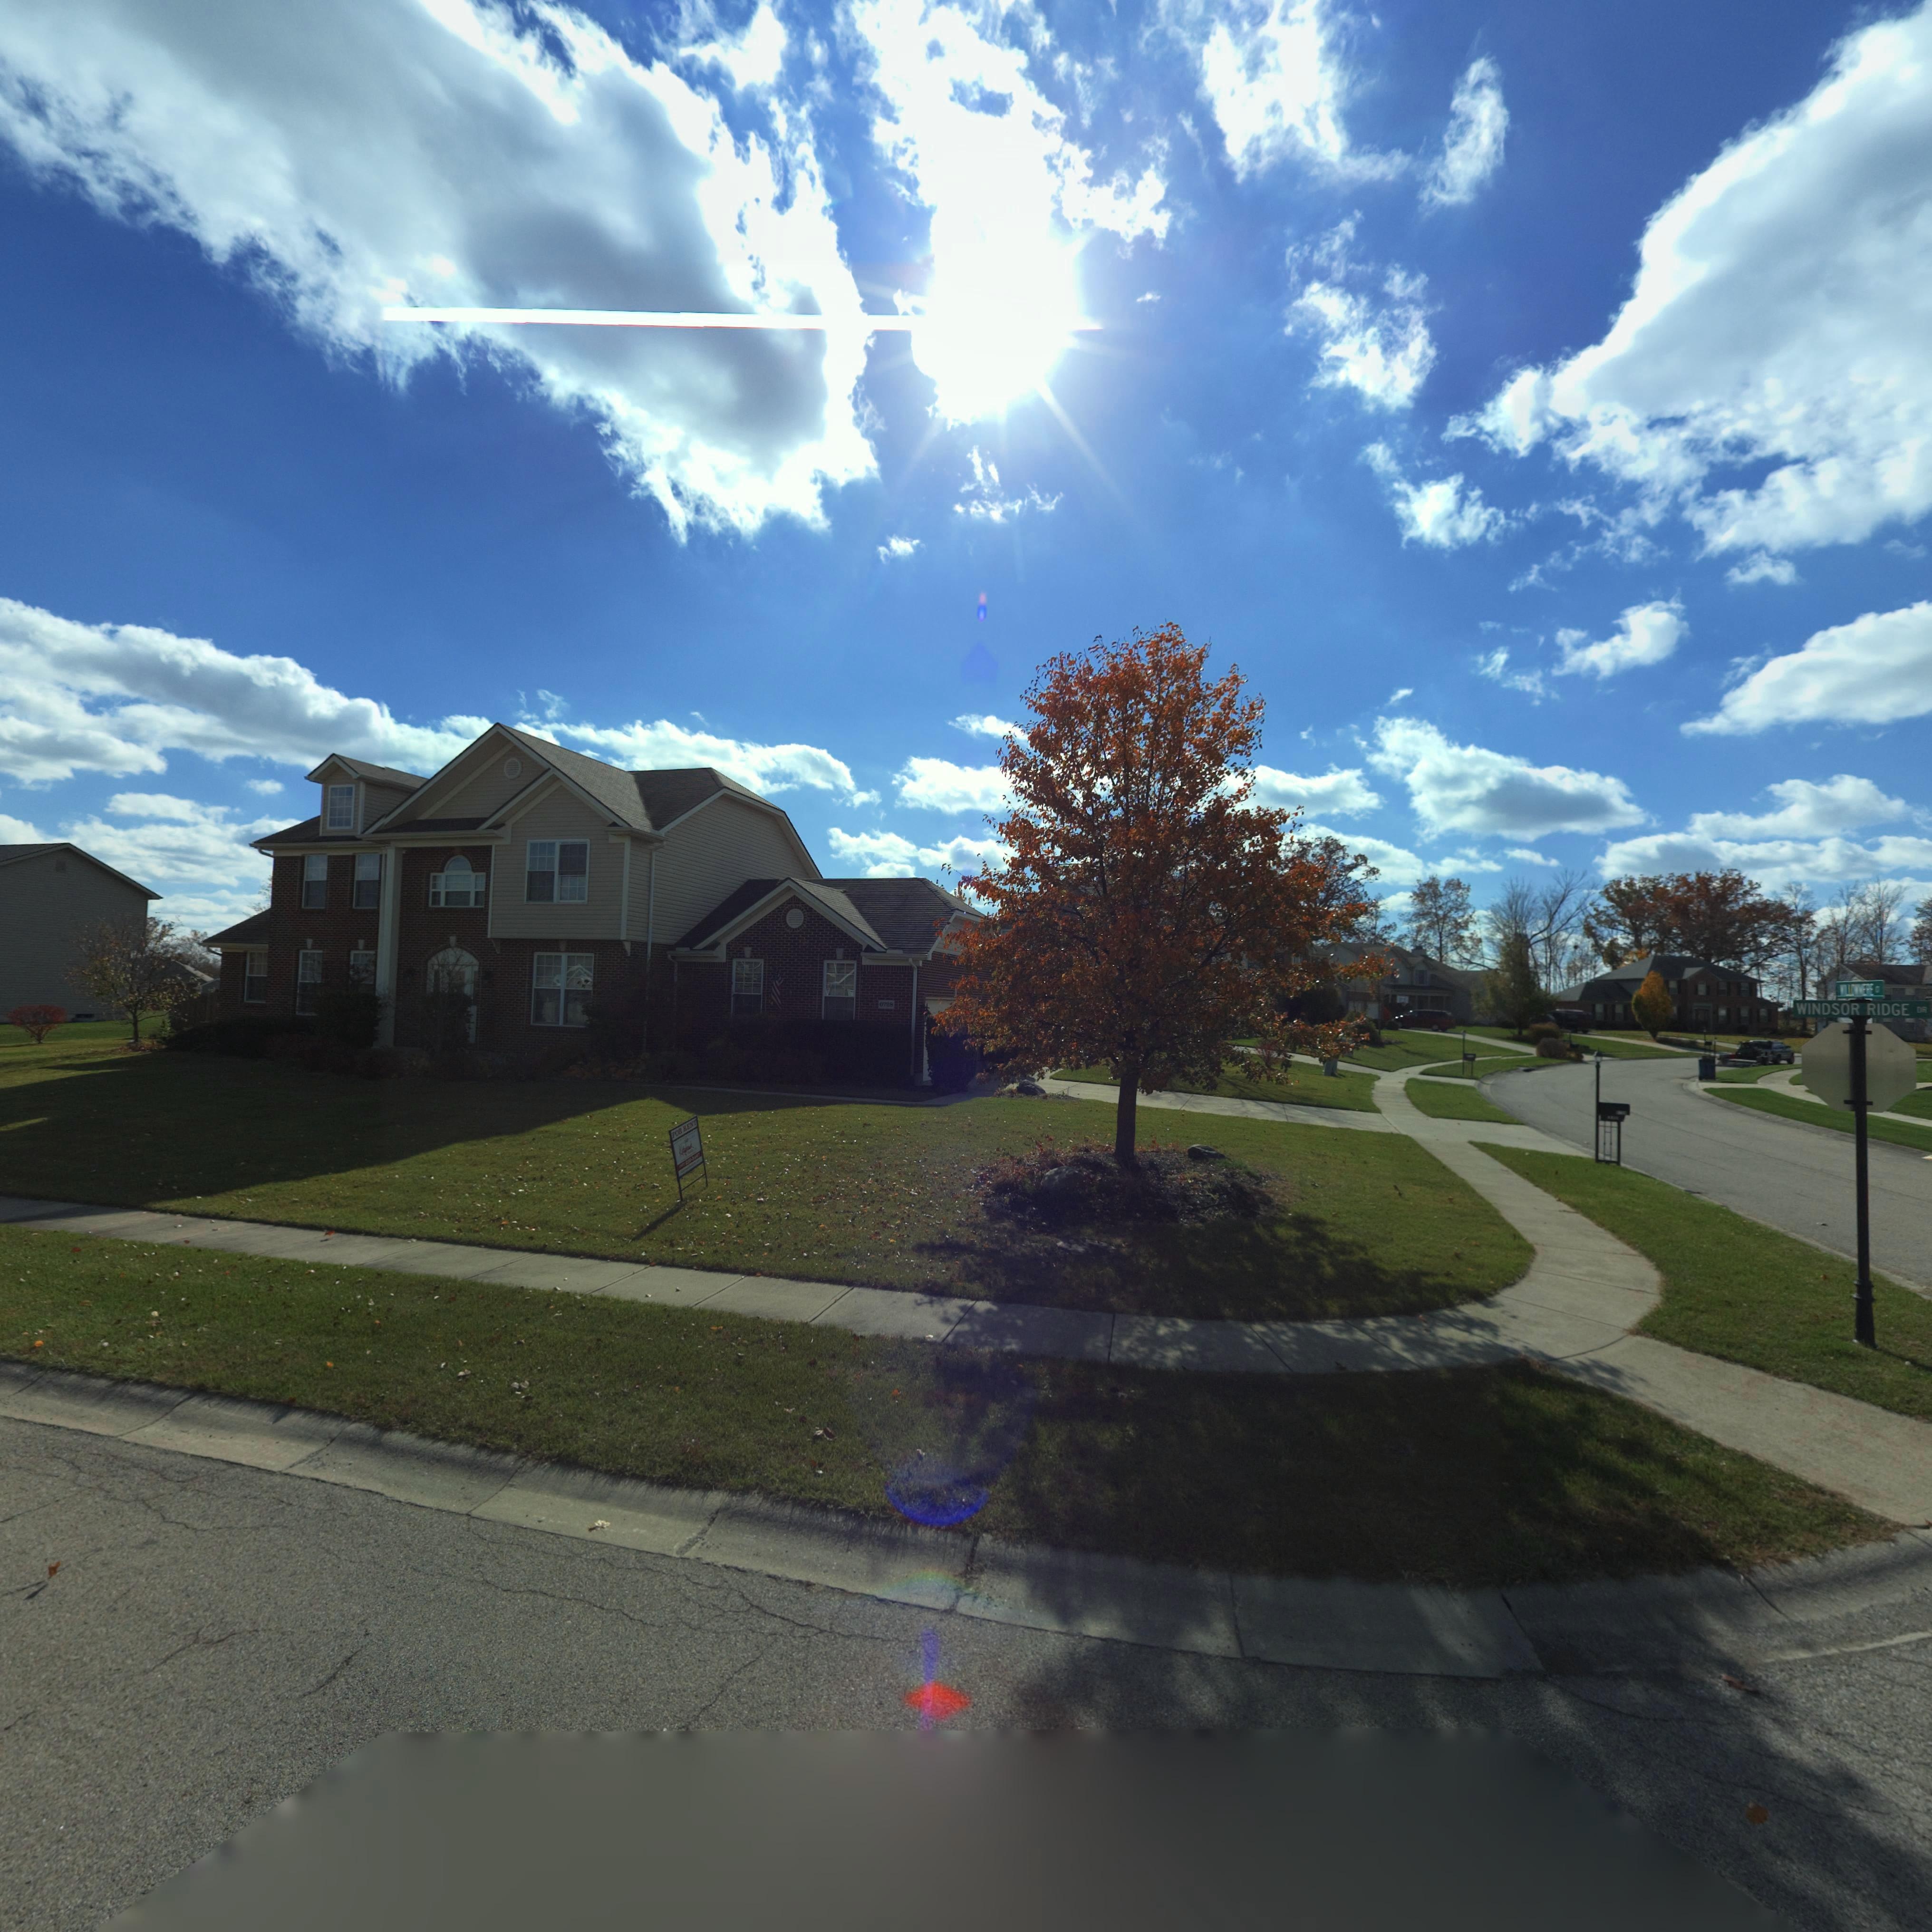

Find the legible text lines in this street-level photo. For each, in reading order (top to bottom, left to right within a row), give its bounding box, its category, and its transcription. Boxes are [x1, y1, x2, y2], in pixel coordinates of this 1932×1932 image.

[1838, 983, 1874, 997] StreetName: WILLOWMERE
[1795, 1001, 1928, 1017] StreetName: WINDSOR RIDGE DR